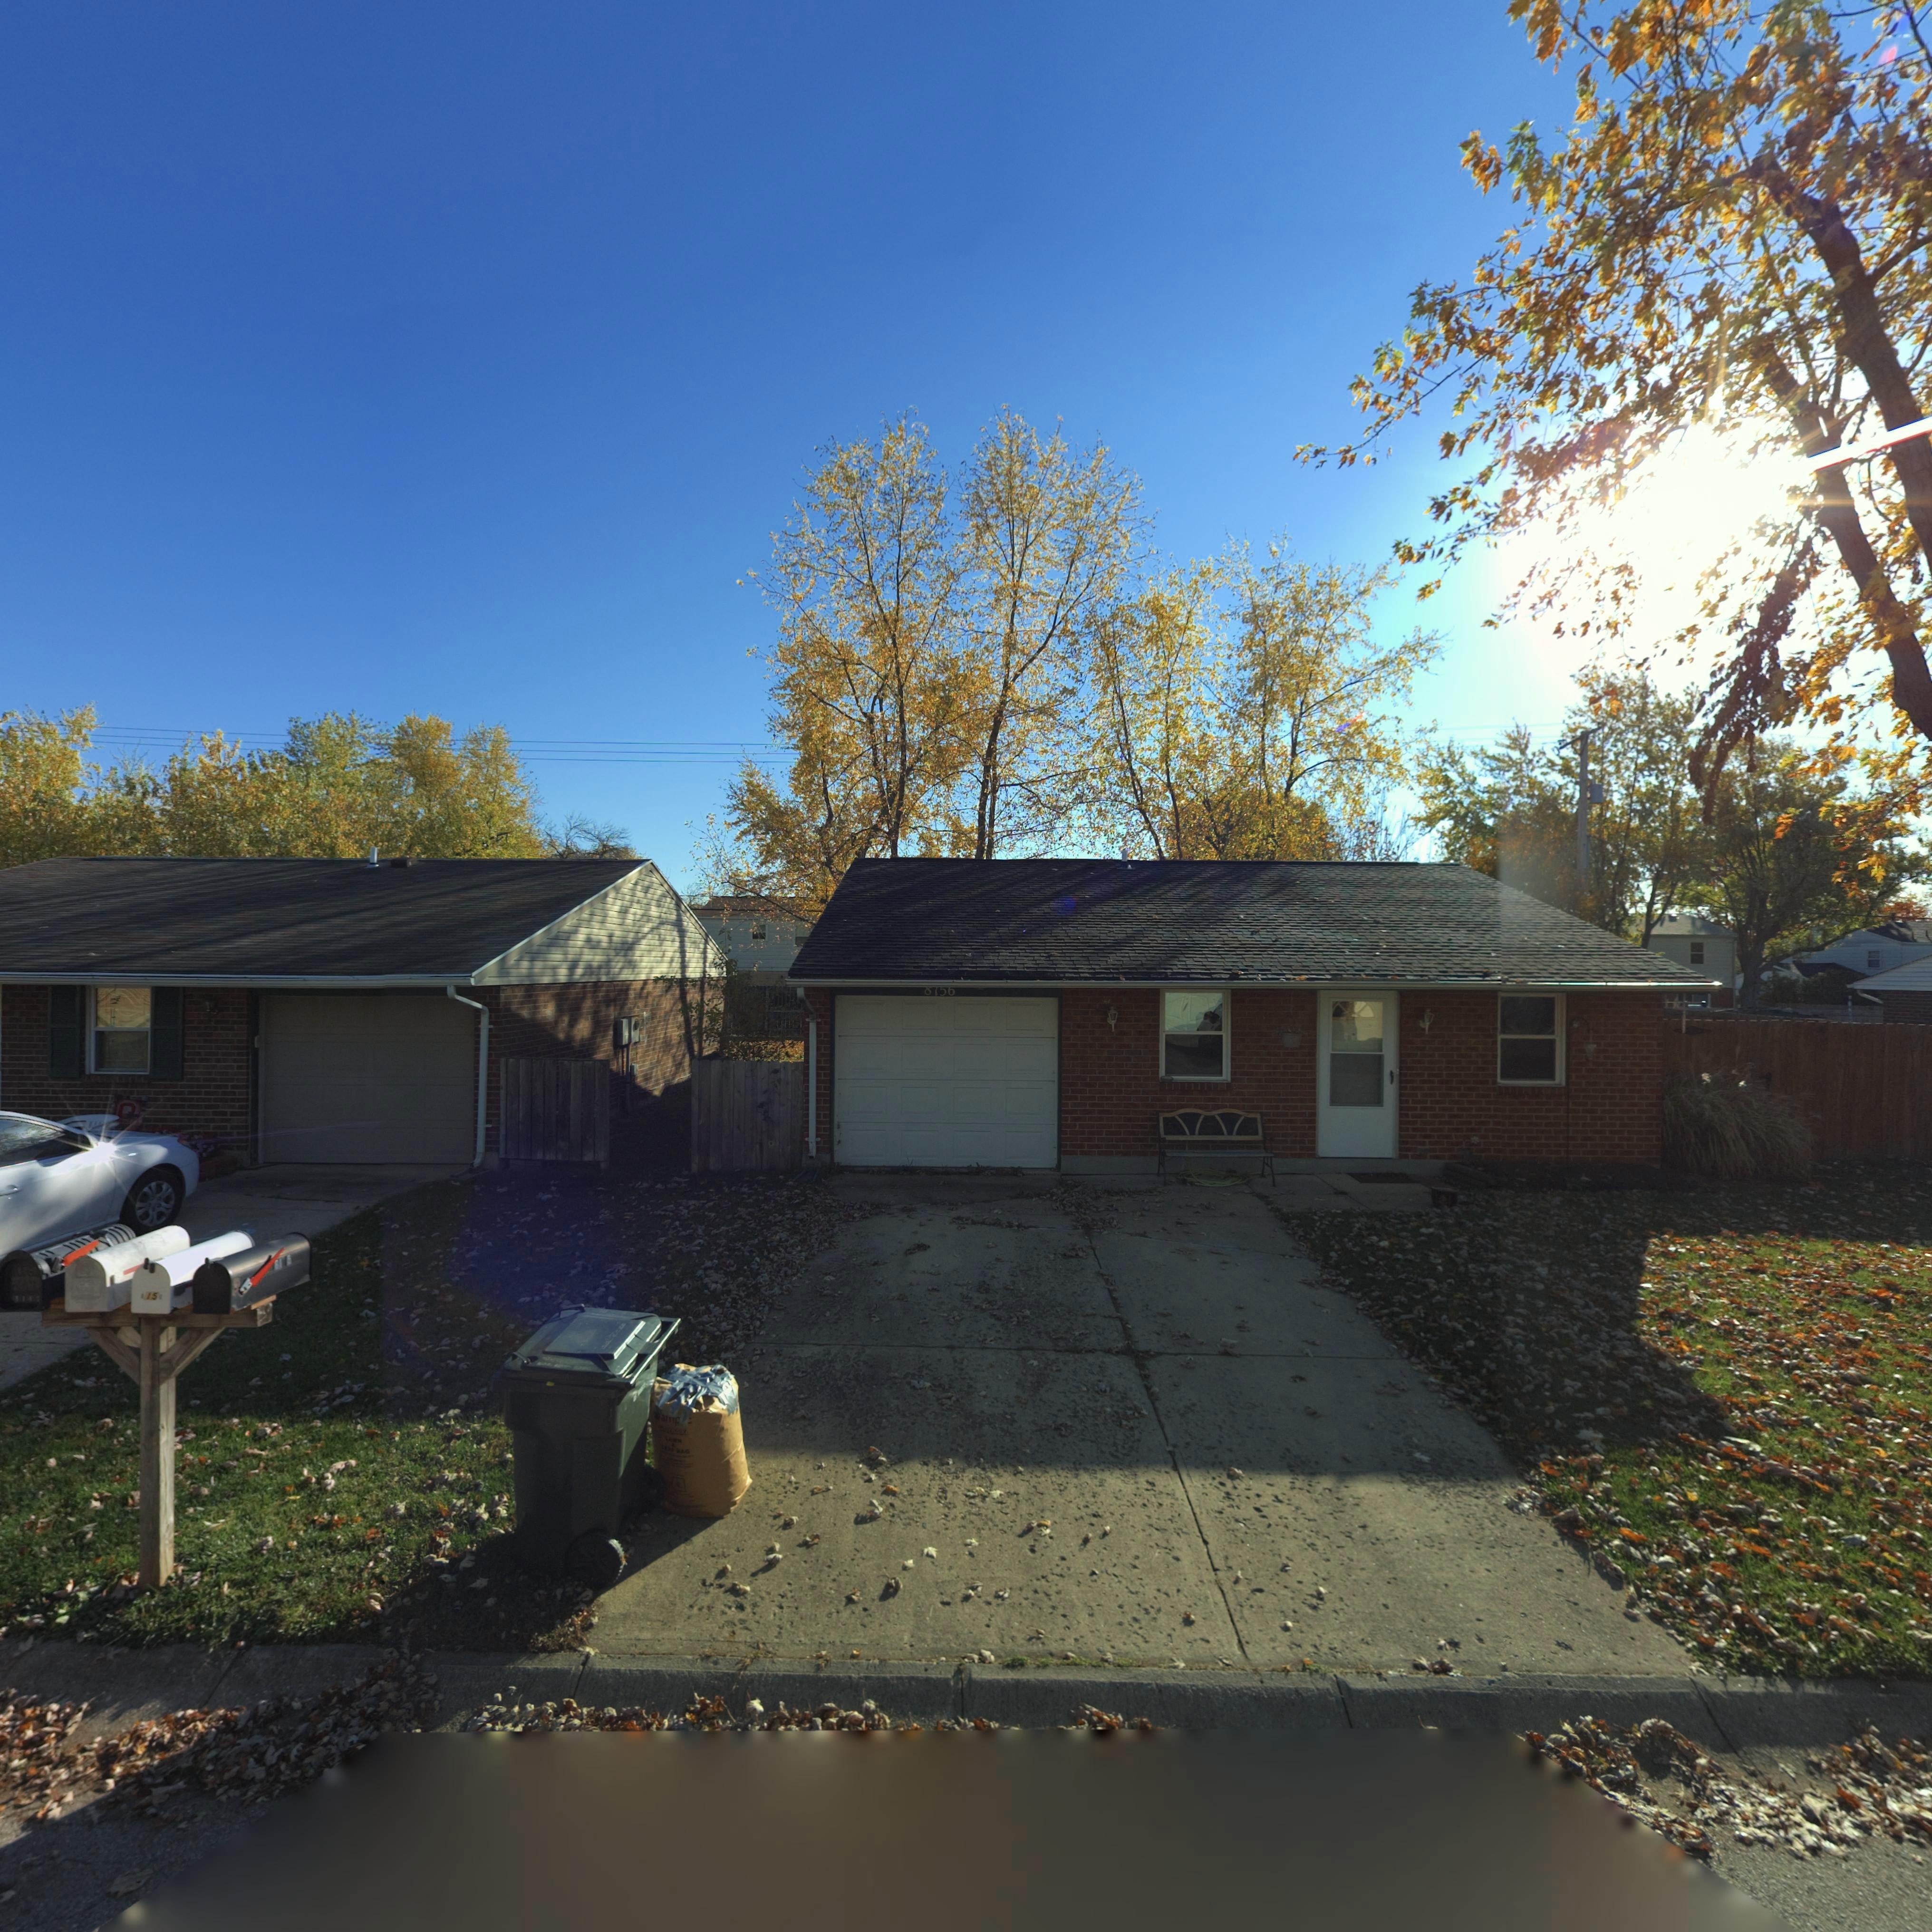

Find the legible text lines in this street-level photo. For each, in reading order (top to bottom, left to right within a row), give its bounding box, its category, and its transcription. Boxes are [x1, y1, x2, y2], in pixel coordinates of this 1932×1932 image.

[140, 1291, 164, 1302] StreetNumber: 1151